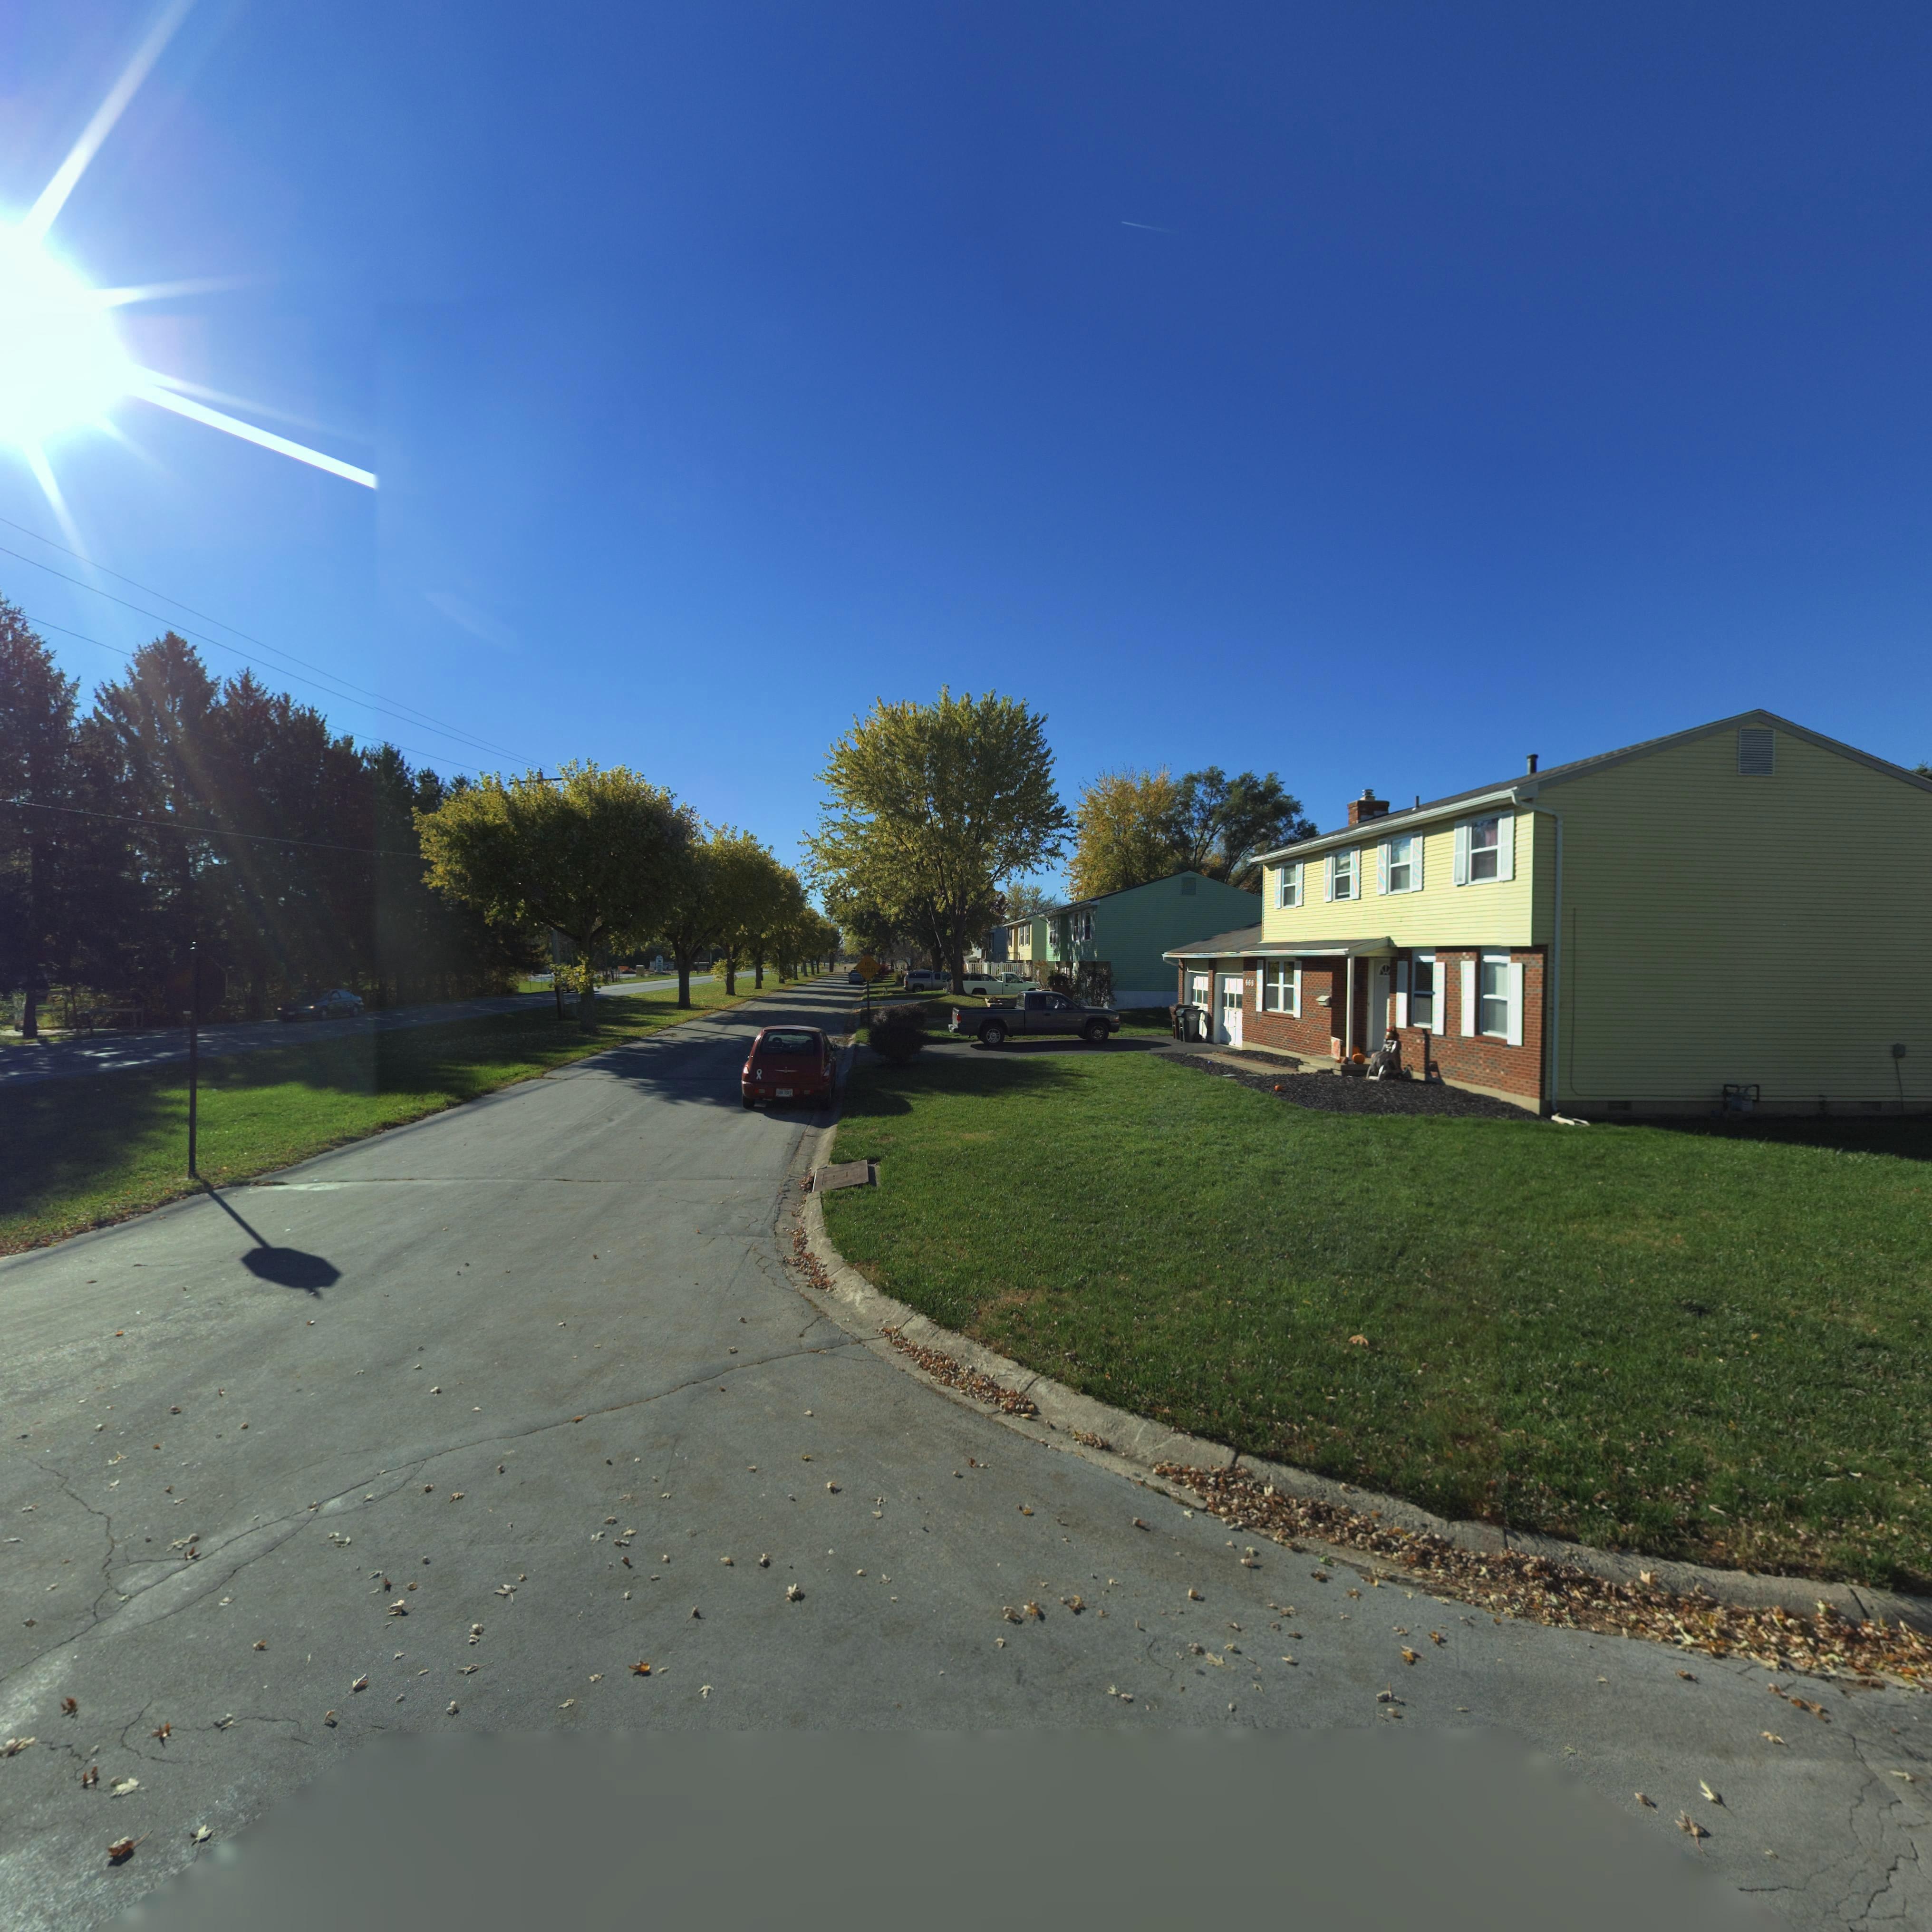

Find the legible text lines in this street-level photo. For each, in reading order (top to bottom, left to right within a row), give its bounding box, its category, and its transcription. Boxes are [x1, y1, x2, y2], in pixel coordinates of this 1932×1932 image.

[1245, 978, 1254, 987] StreetNumber: 668